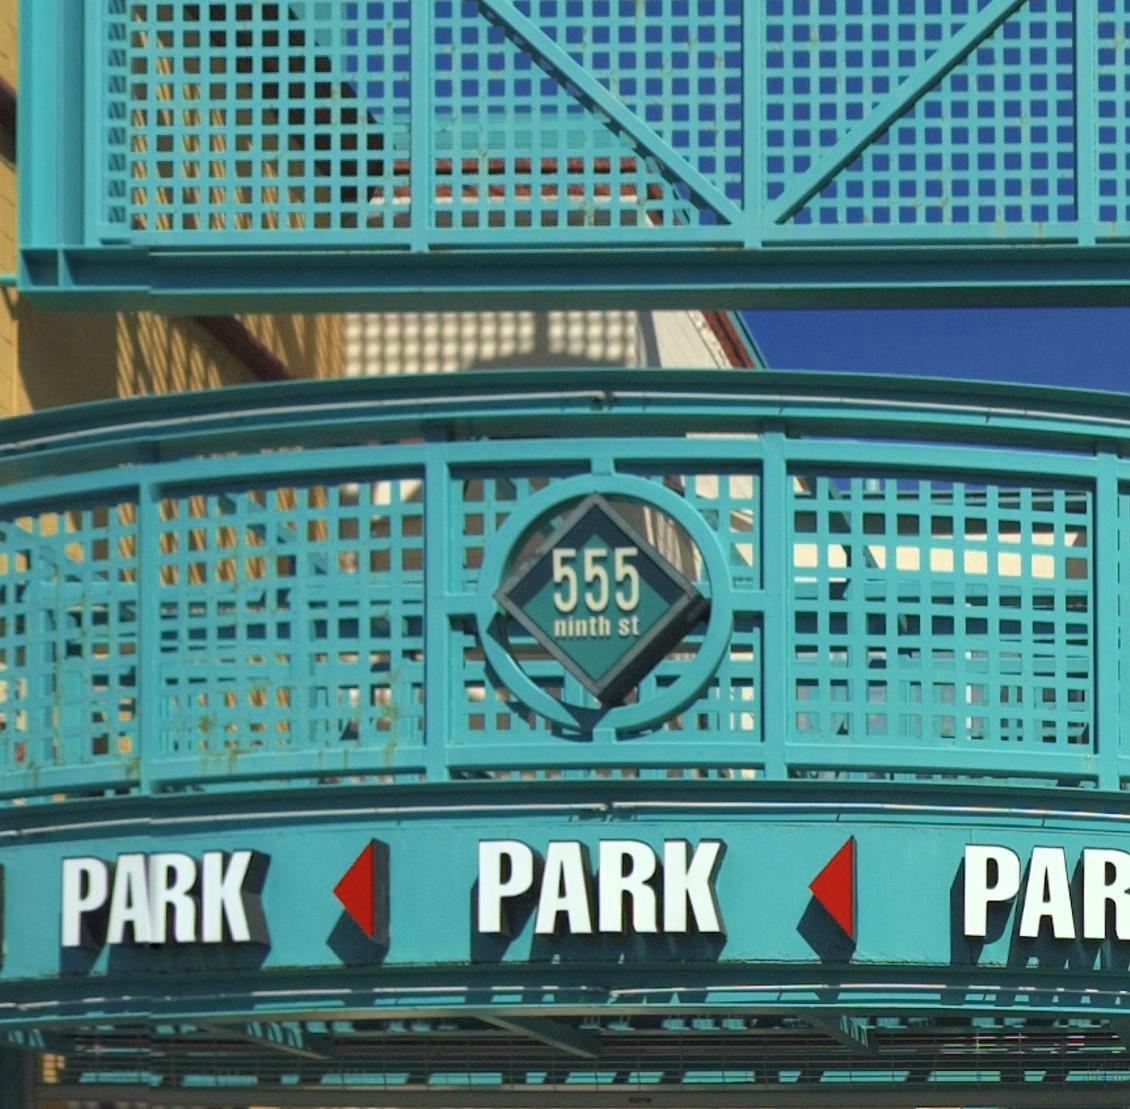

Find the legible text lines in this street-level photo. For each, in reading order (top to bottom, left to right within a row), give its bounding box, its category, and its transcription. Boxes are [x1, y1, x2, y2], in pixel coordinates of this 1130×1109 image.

[548, 543, 644, 618] StreetNumber: 555
[550, 610, 646, 642] StreetName: ninth st
[53, 846, 260, 950] None: PARK
[468, 832, 733, 940] None: PARK
[958, 839, 1082, 946] None: PA